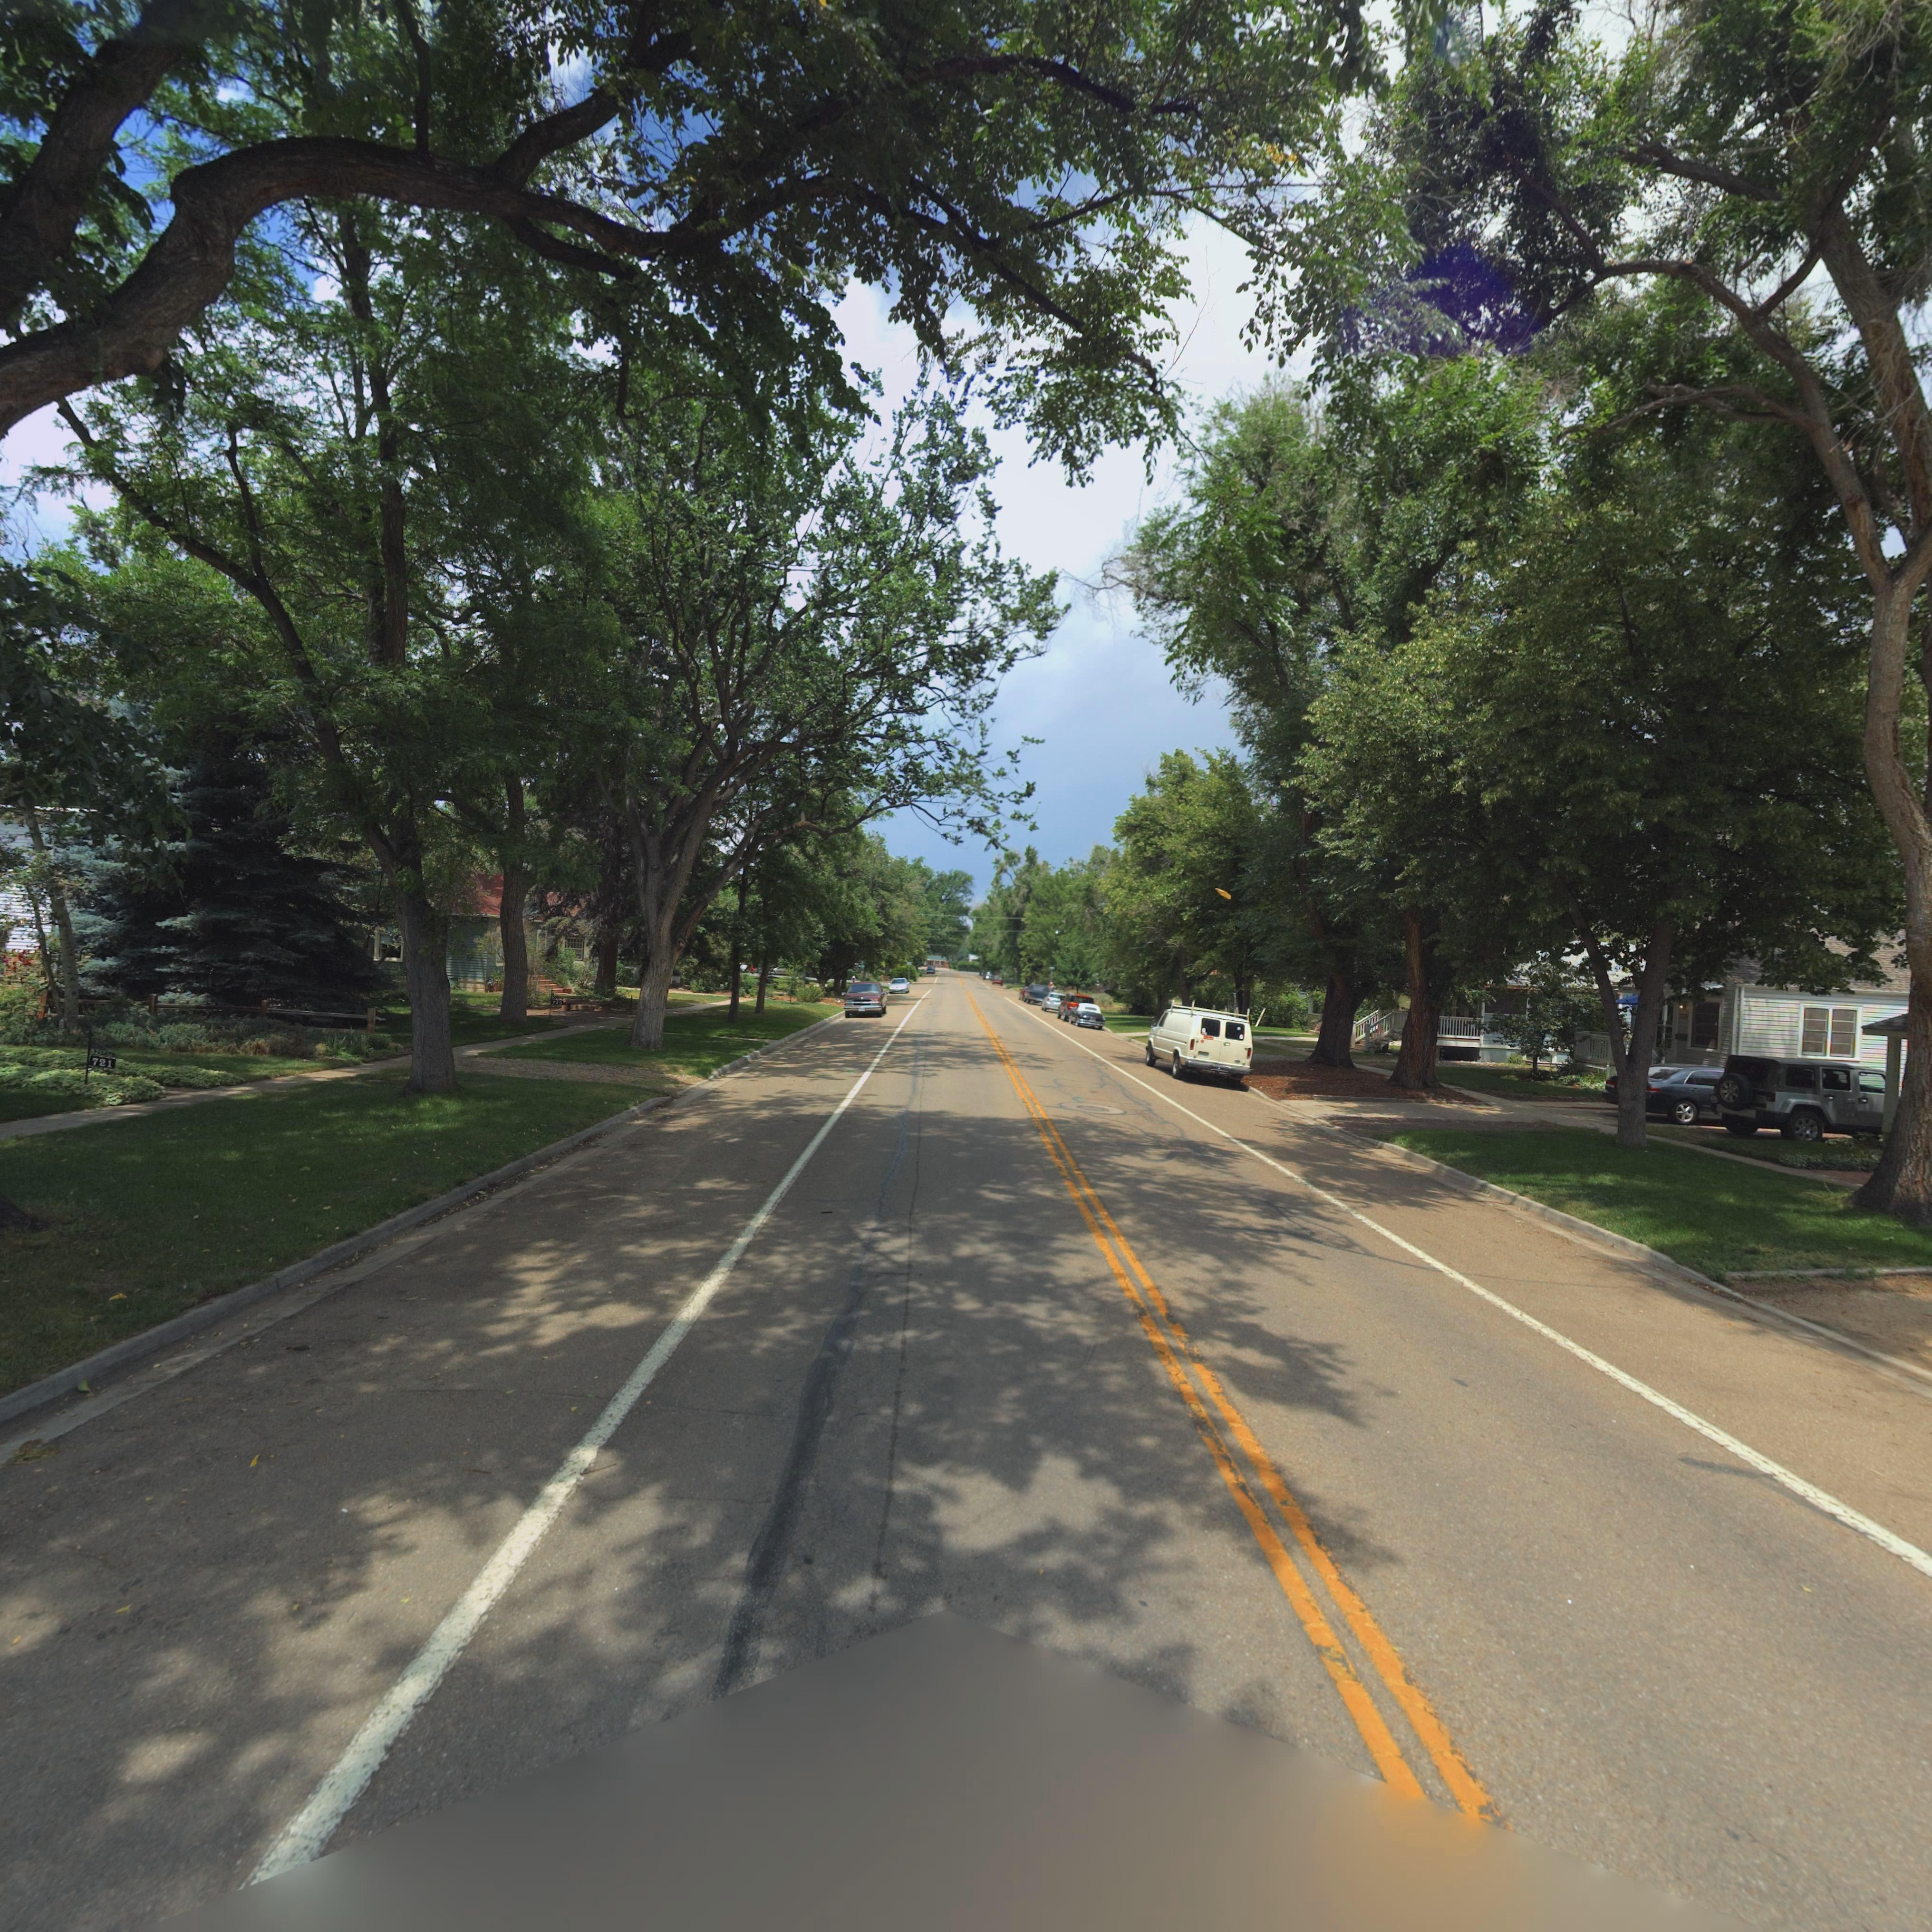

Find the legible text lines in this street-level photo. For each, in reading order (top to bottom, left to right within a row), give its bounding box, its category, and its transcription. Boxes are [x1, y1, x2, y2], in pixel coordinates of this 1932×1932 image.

[91, 1056, 113, 1068] StreetNumber: 721